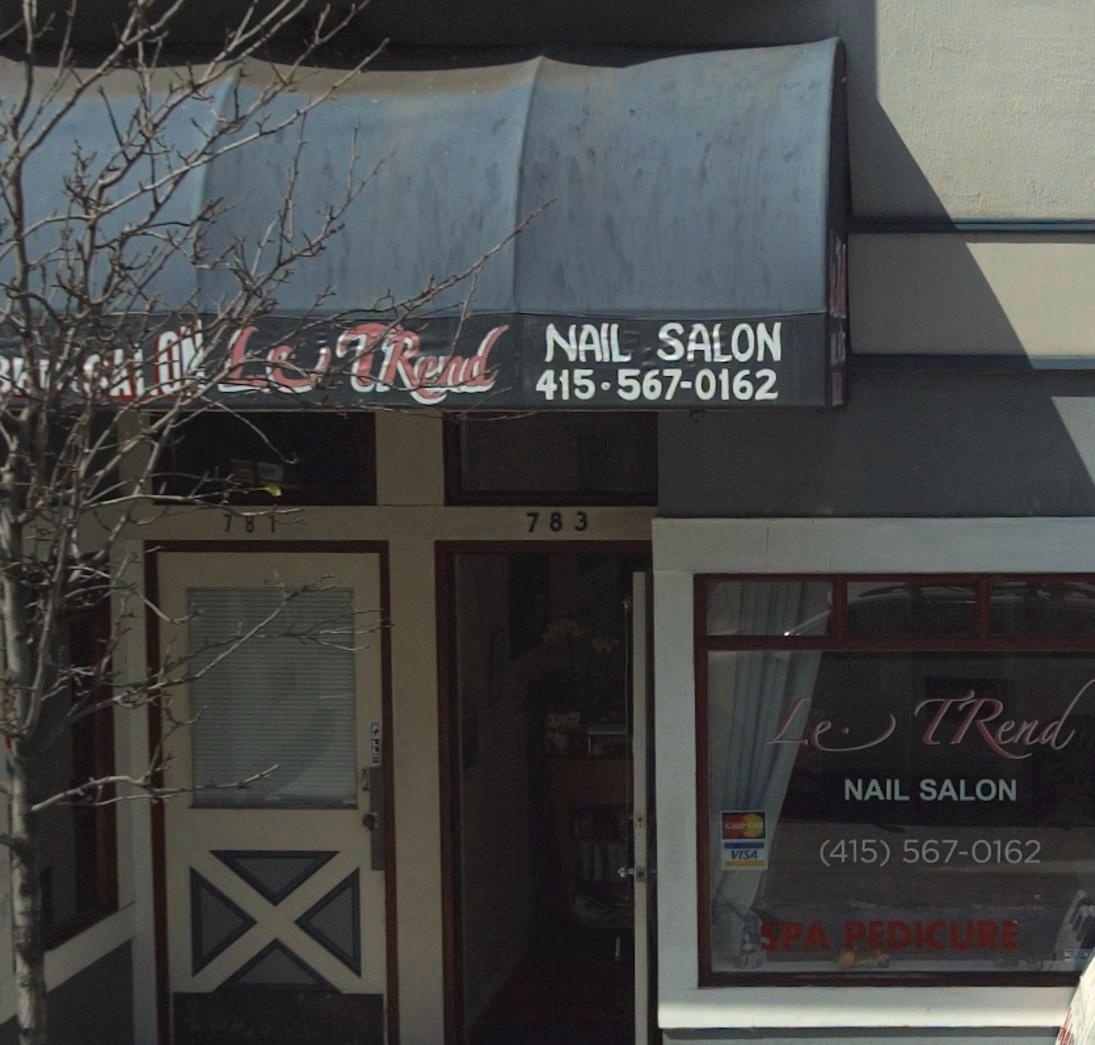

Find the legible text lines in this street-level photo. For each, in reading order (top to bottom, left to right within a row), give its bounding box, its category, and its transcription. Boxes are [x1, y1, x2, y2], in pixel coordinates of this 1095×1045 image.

[539, 319, 789, 365] None: NAIL SALON
[533, 366, 781, 403] None: 415-567-0162
[220, 512, 278, 533] StreetNumber: 781
[524, 509, 590, 535] StreetNumber: 783
[755, 679, 1090, 763] BusinessName: Le TRend
[371, 724, 381, 755] None: PULL
[841, 776, 1020, 804] None: NAIL SALON
[730, 849, 757, 860] None: VISA
[813, 836, 1051, 867] None: (415) 567-0162
[757, 918, 1022, 953] None: SPA PEDICURE